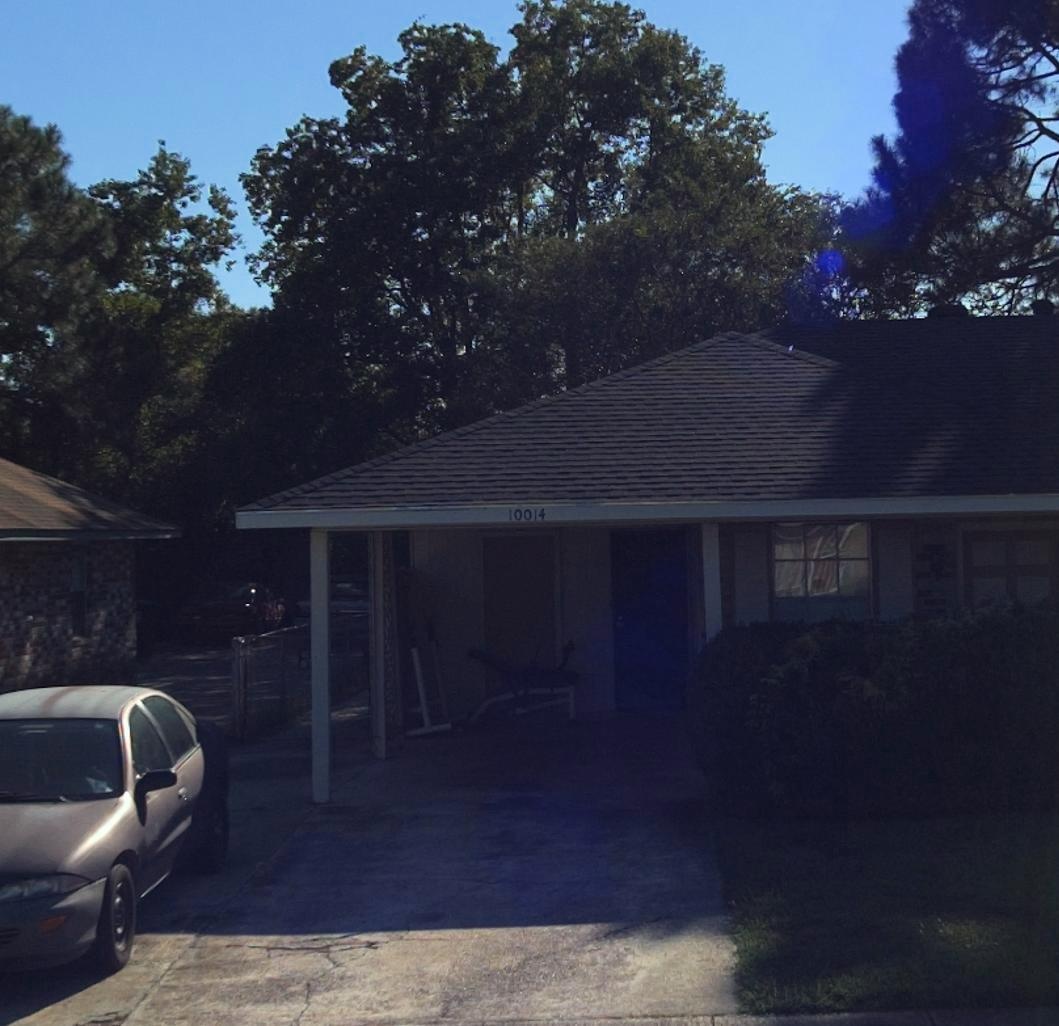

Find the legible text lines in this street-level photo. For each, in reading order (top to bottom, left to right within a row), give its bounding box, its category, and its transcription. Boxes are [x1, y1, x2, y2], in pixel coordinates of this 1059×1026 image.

[507, 507, 546, 521] StreetNumber: 10014